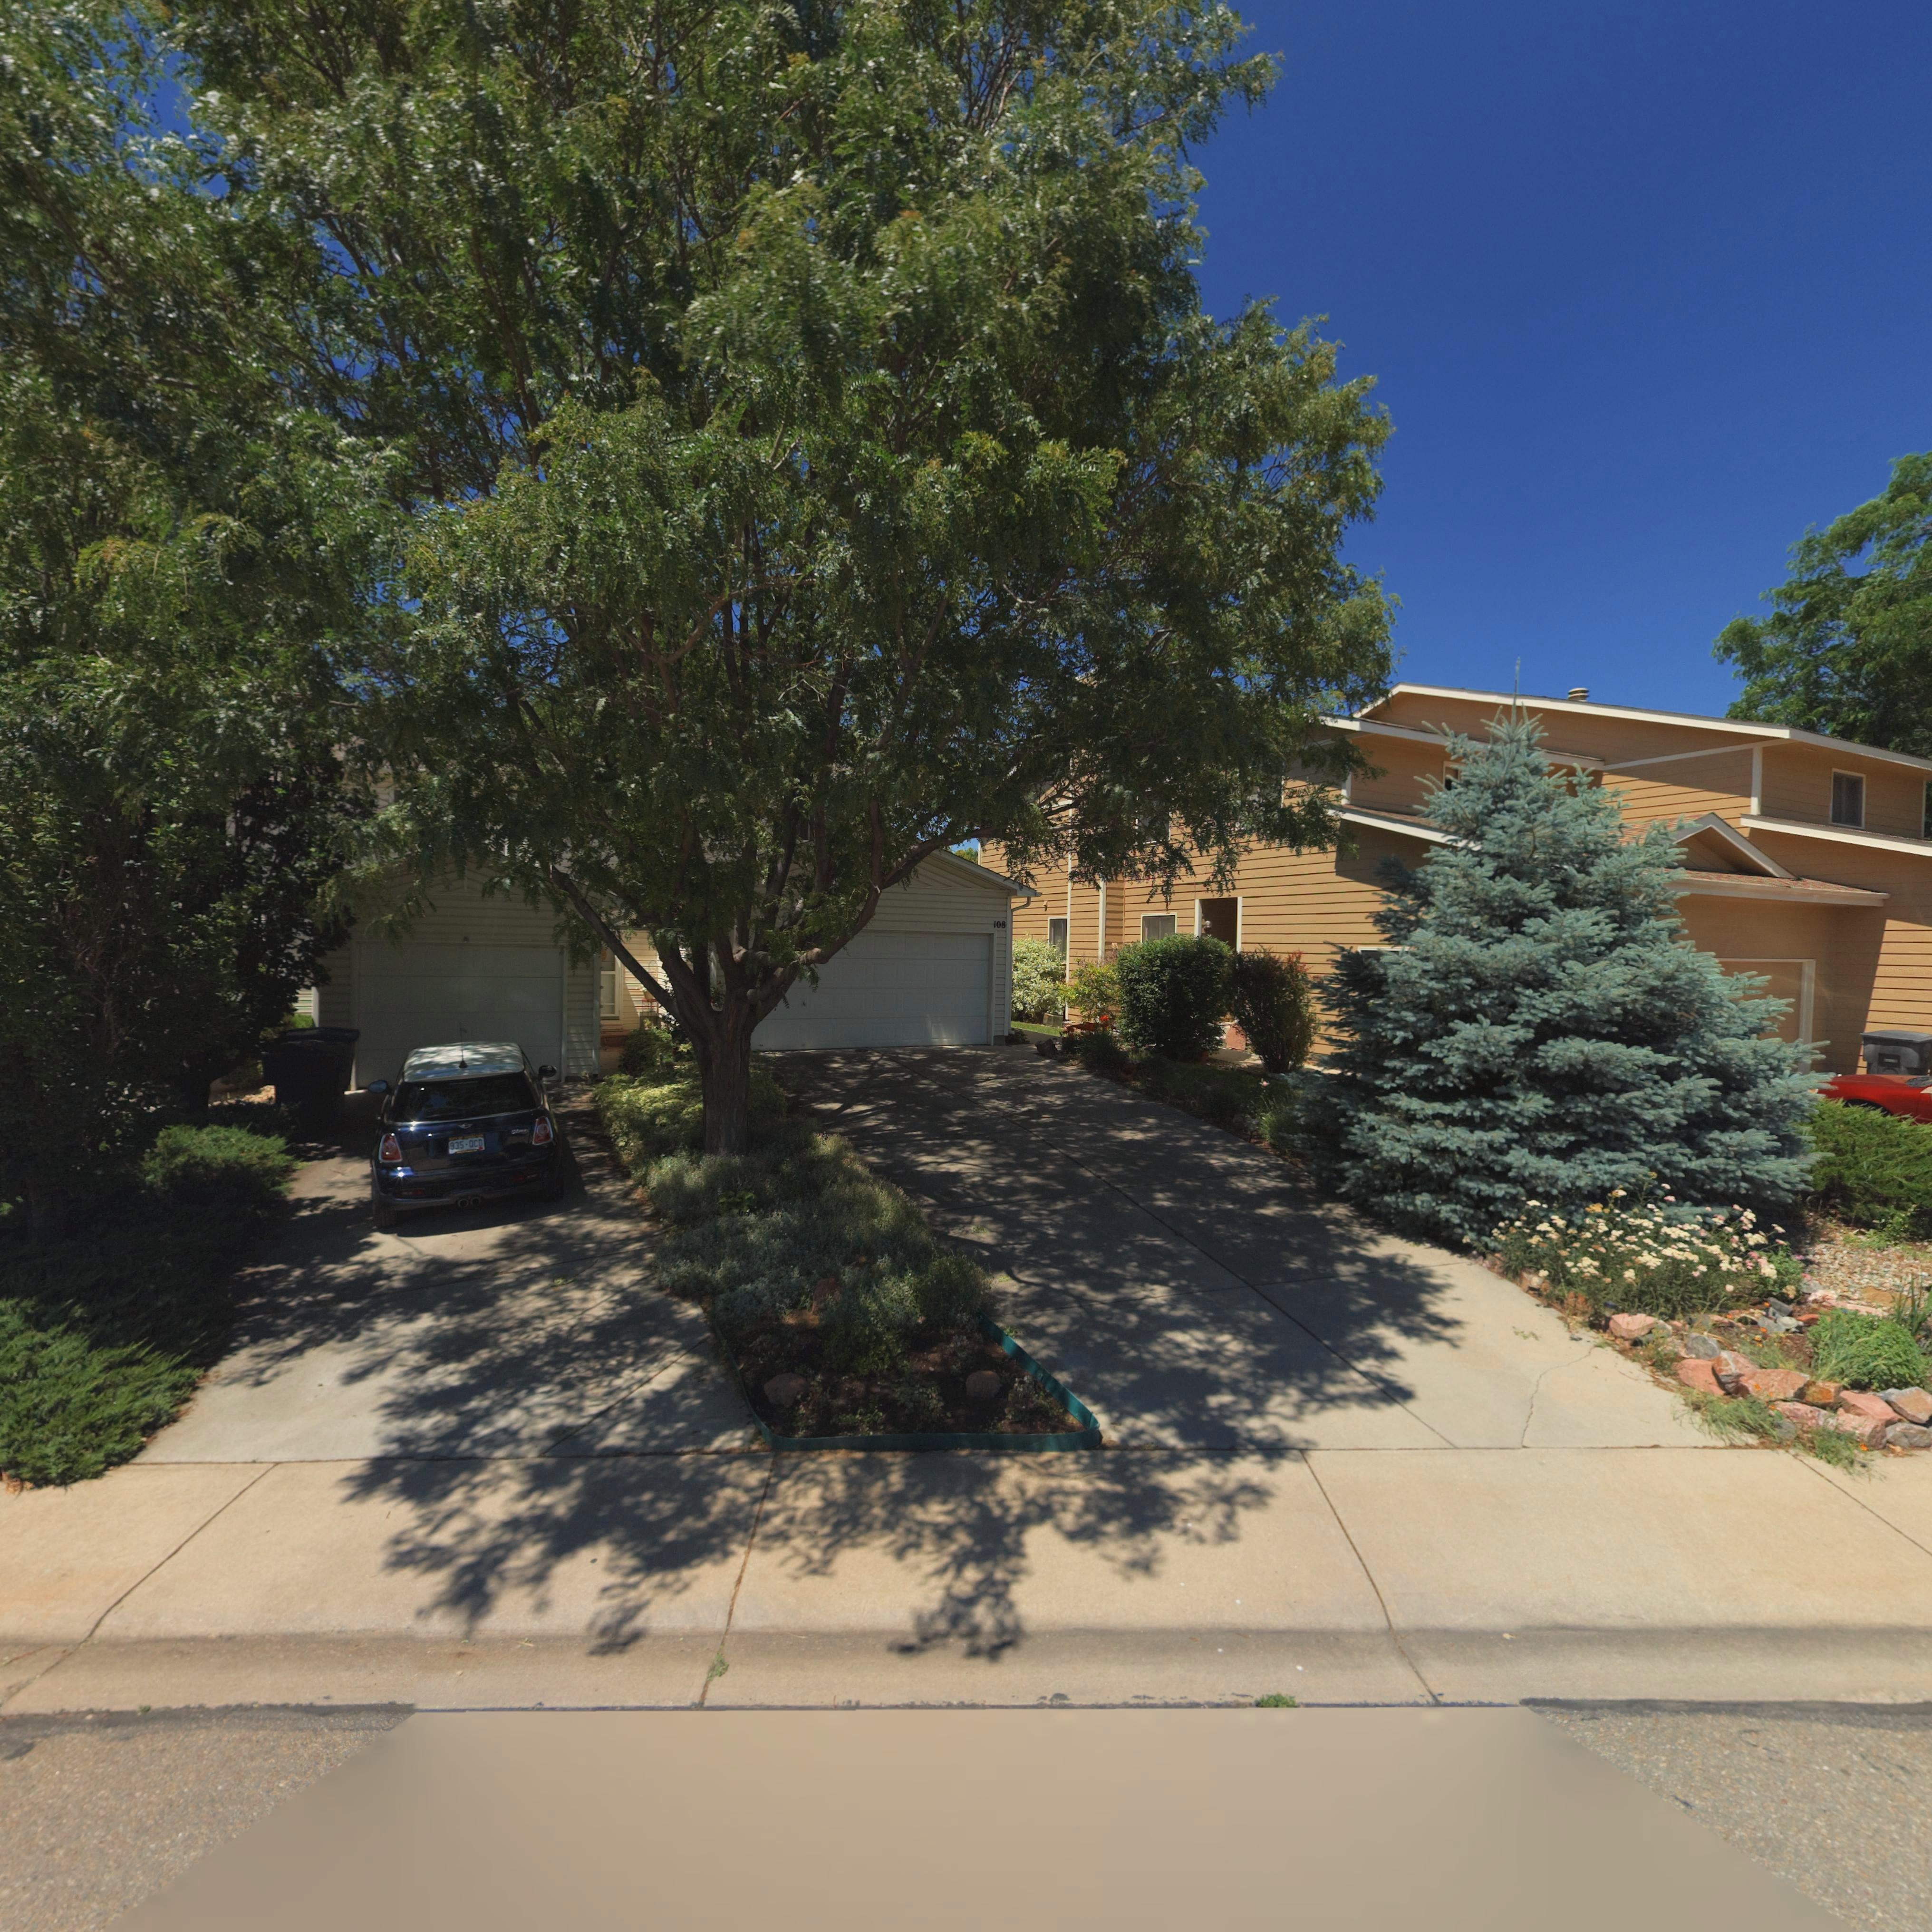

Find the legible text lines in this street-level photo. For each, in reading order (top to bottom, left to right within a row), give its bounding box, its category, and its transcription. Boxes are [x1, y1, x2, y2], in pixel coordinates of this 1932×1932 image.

[993, 920, 1006, 928] StreetNumber: 108